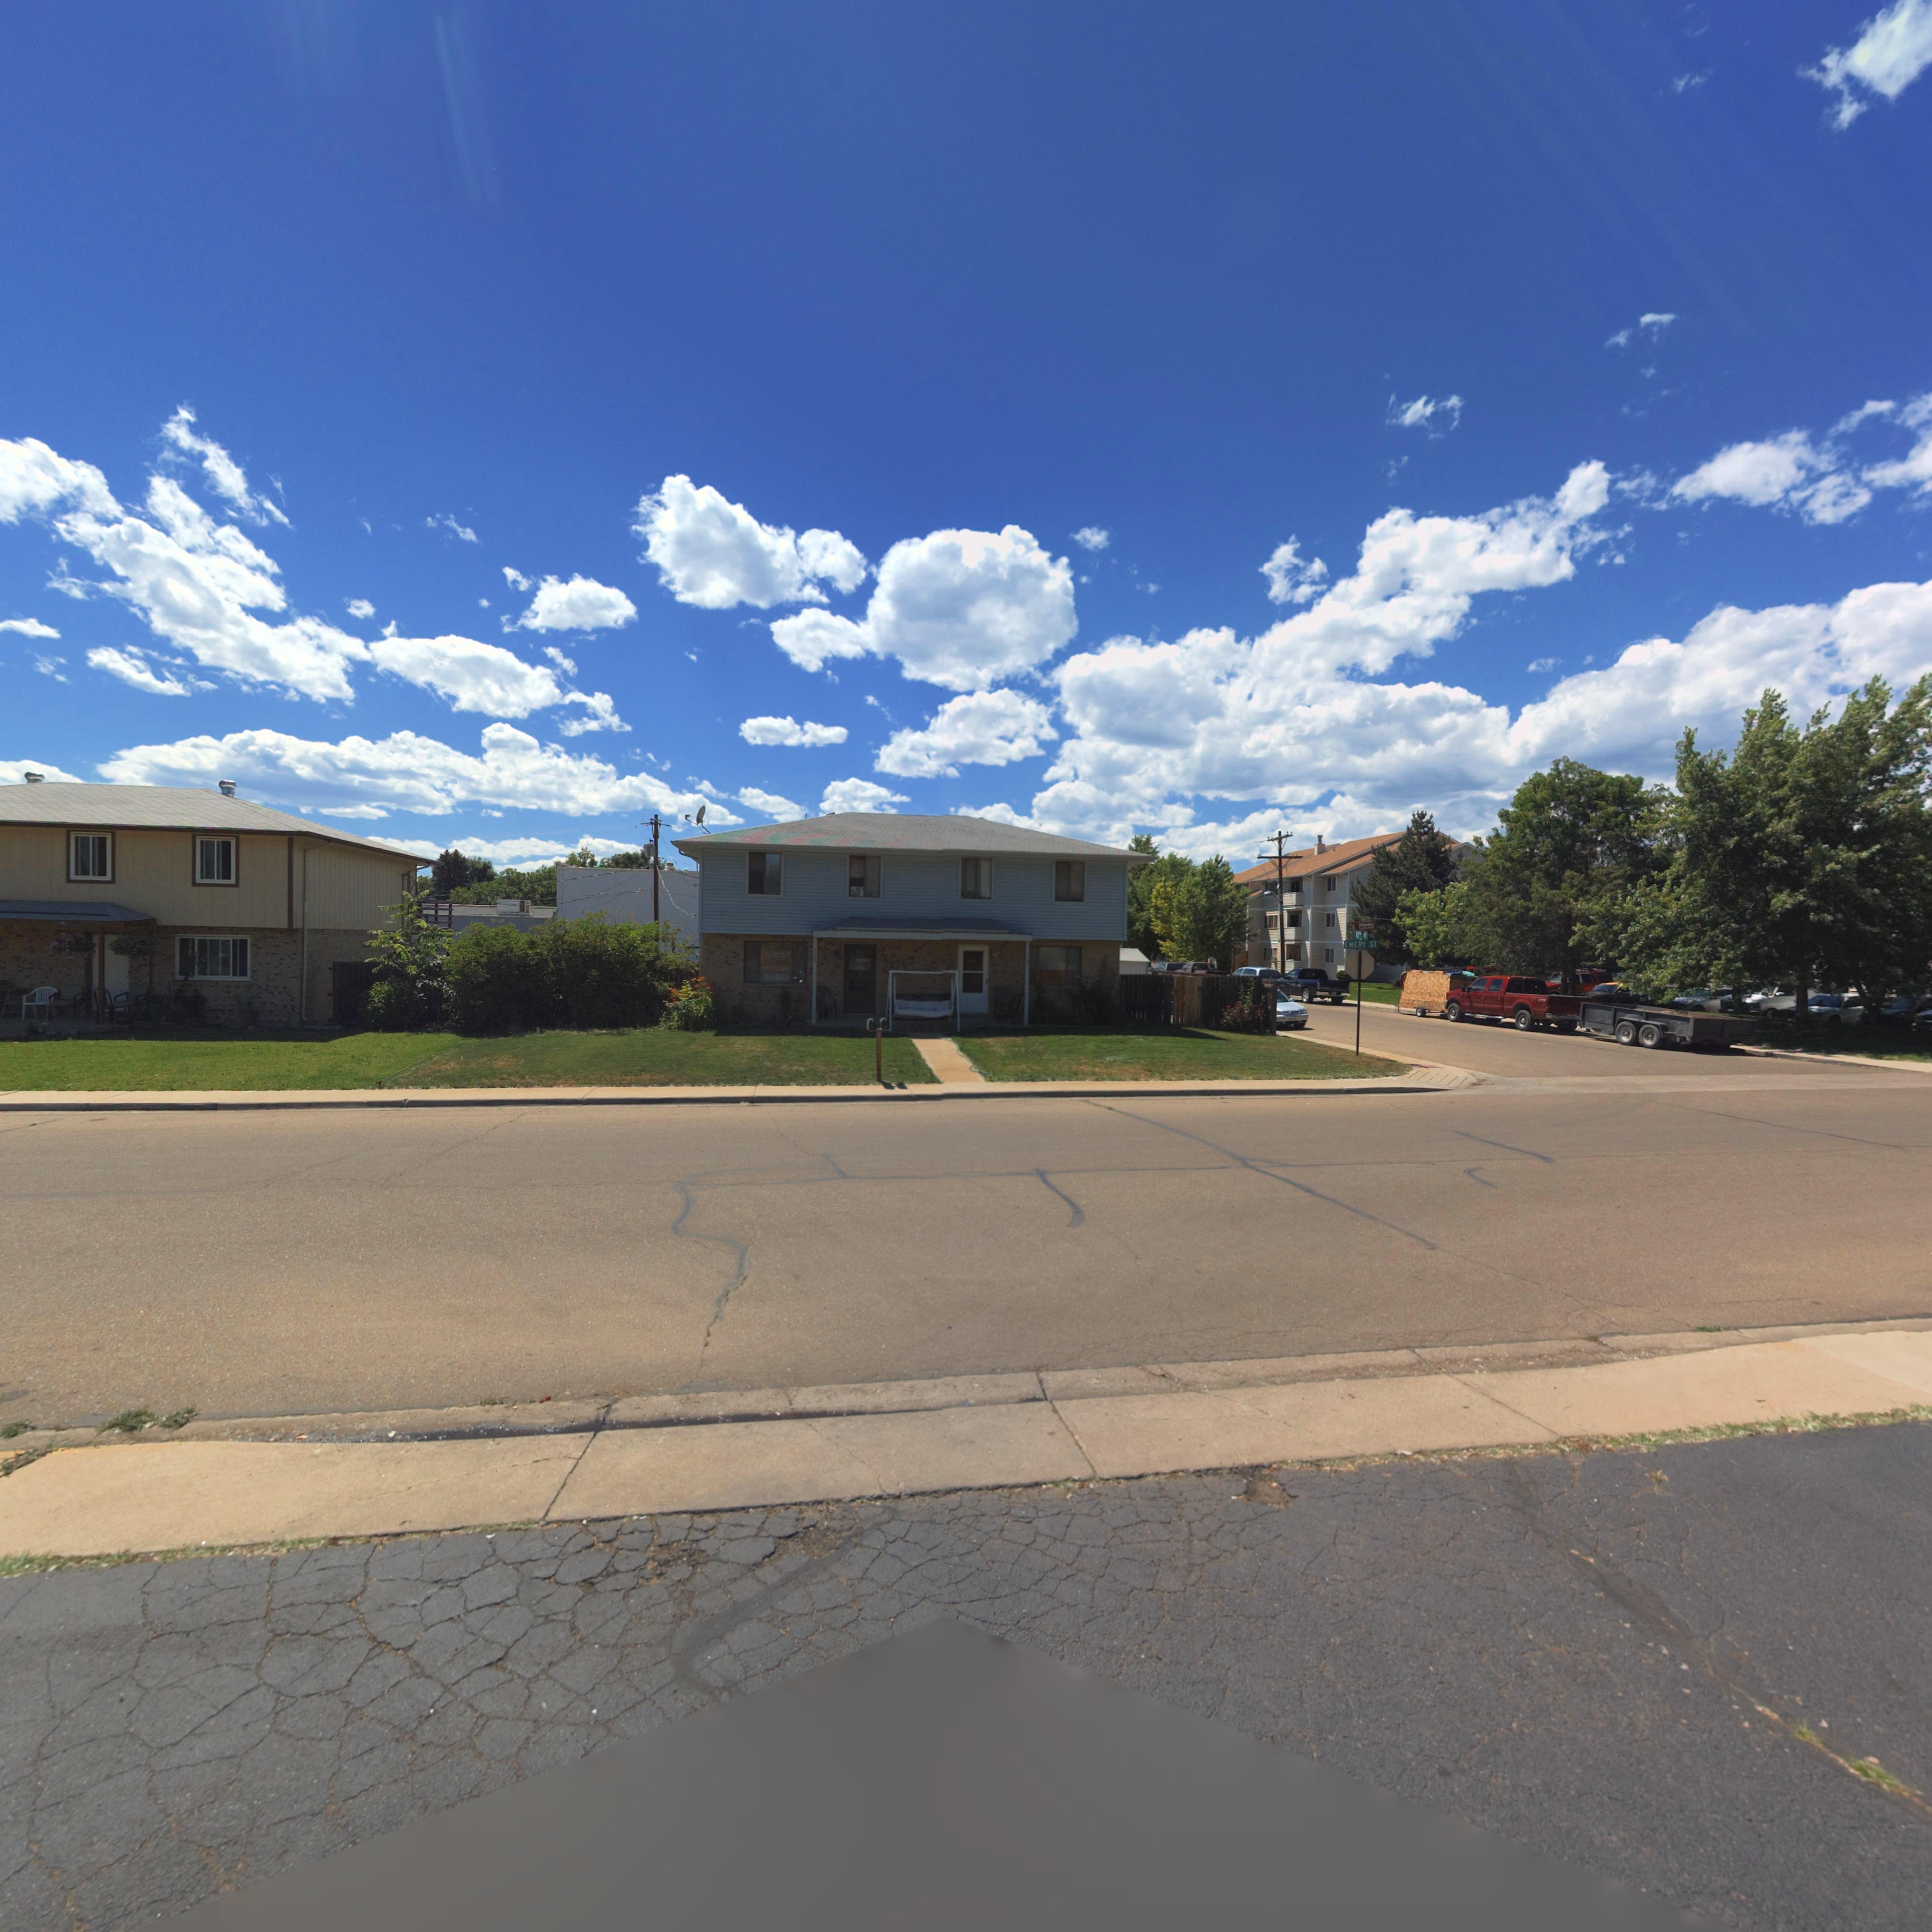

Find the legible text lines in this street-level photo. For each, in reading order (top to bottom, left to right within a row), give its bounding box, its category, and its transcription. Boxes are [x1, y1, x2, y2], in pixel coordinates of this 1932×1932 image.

[1356, 931, 1366, 938] StreetName: 12** **
[1344, 940, 1377, 947] StreetName: EMERY ST